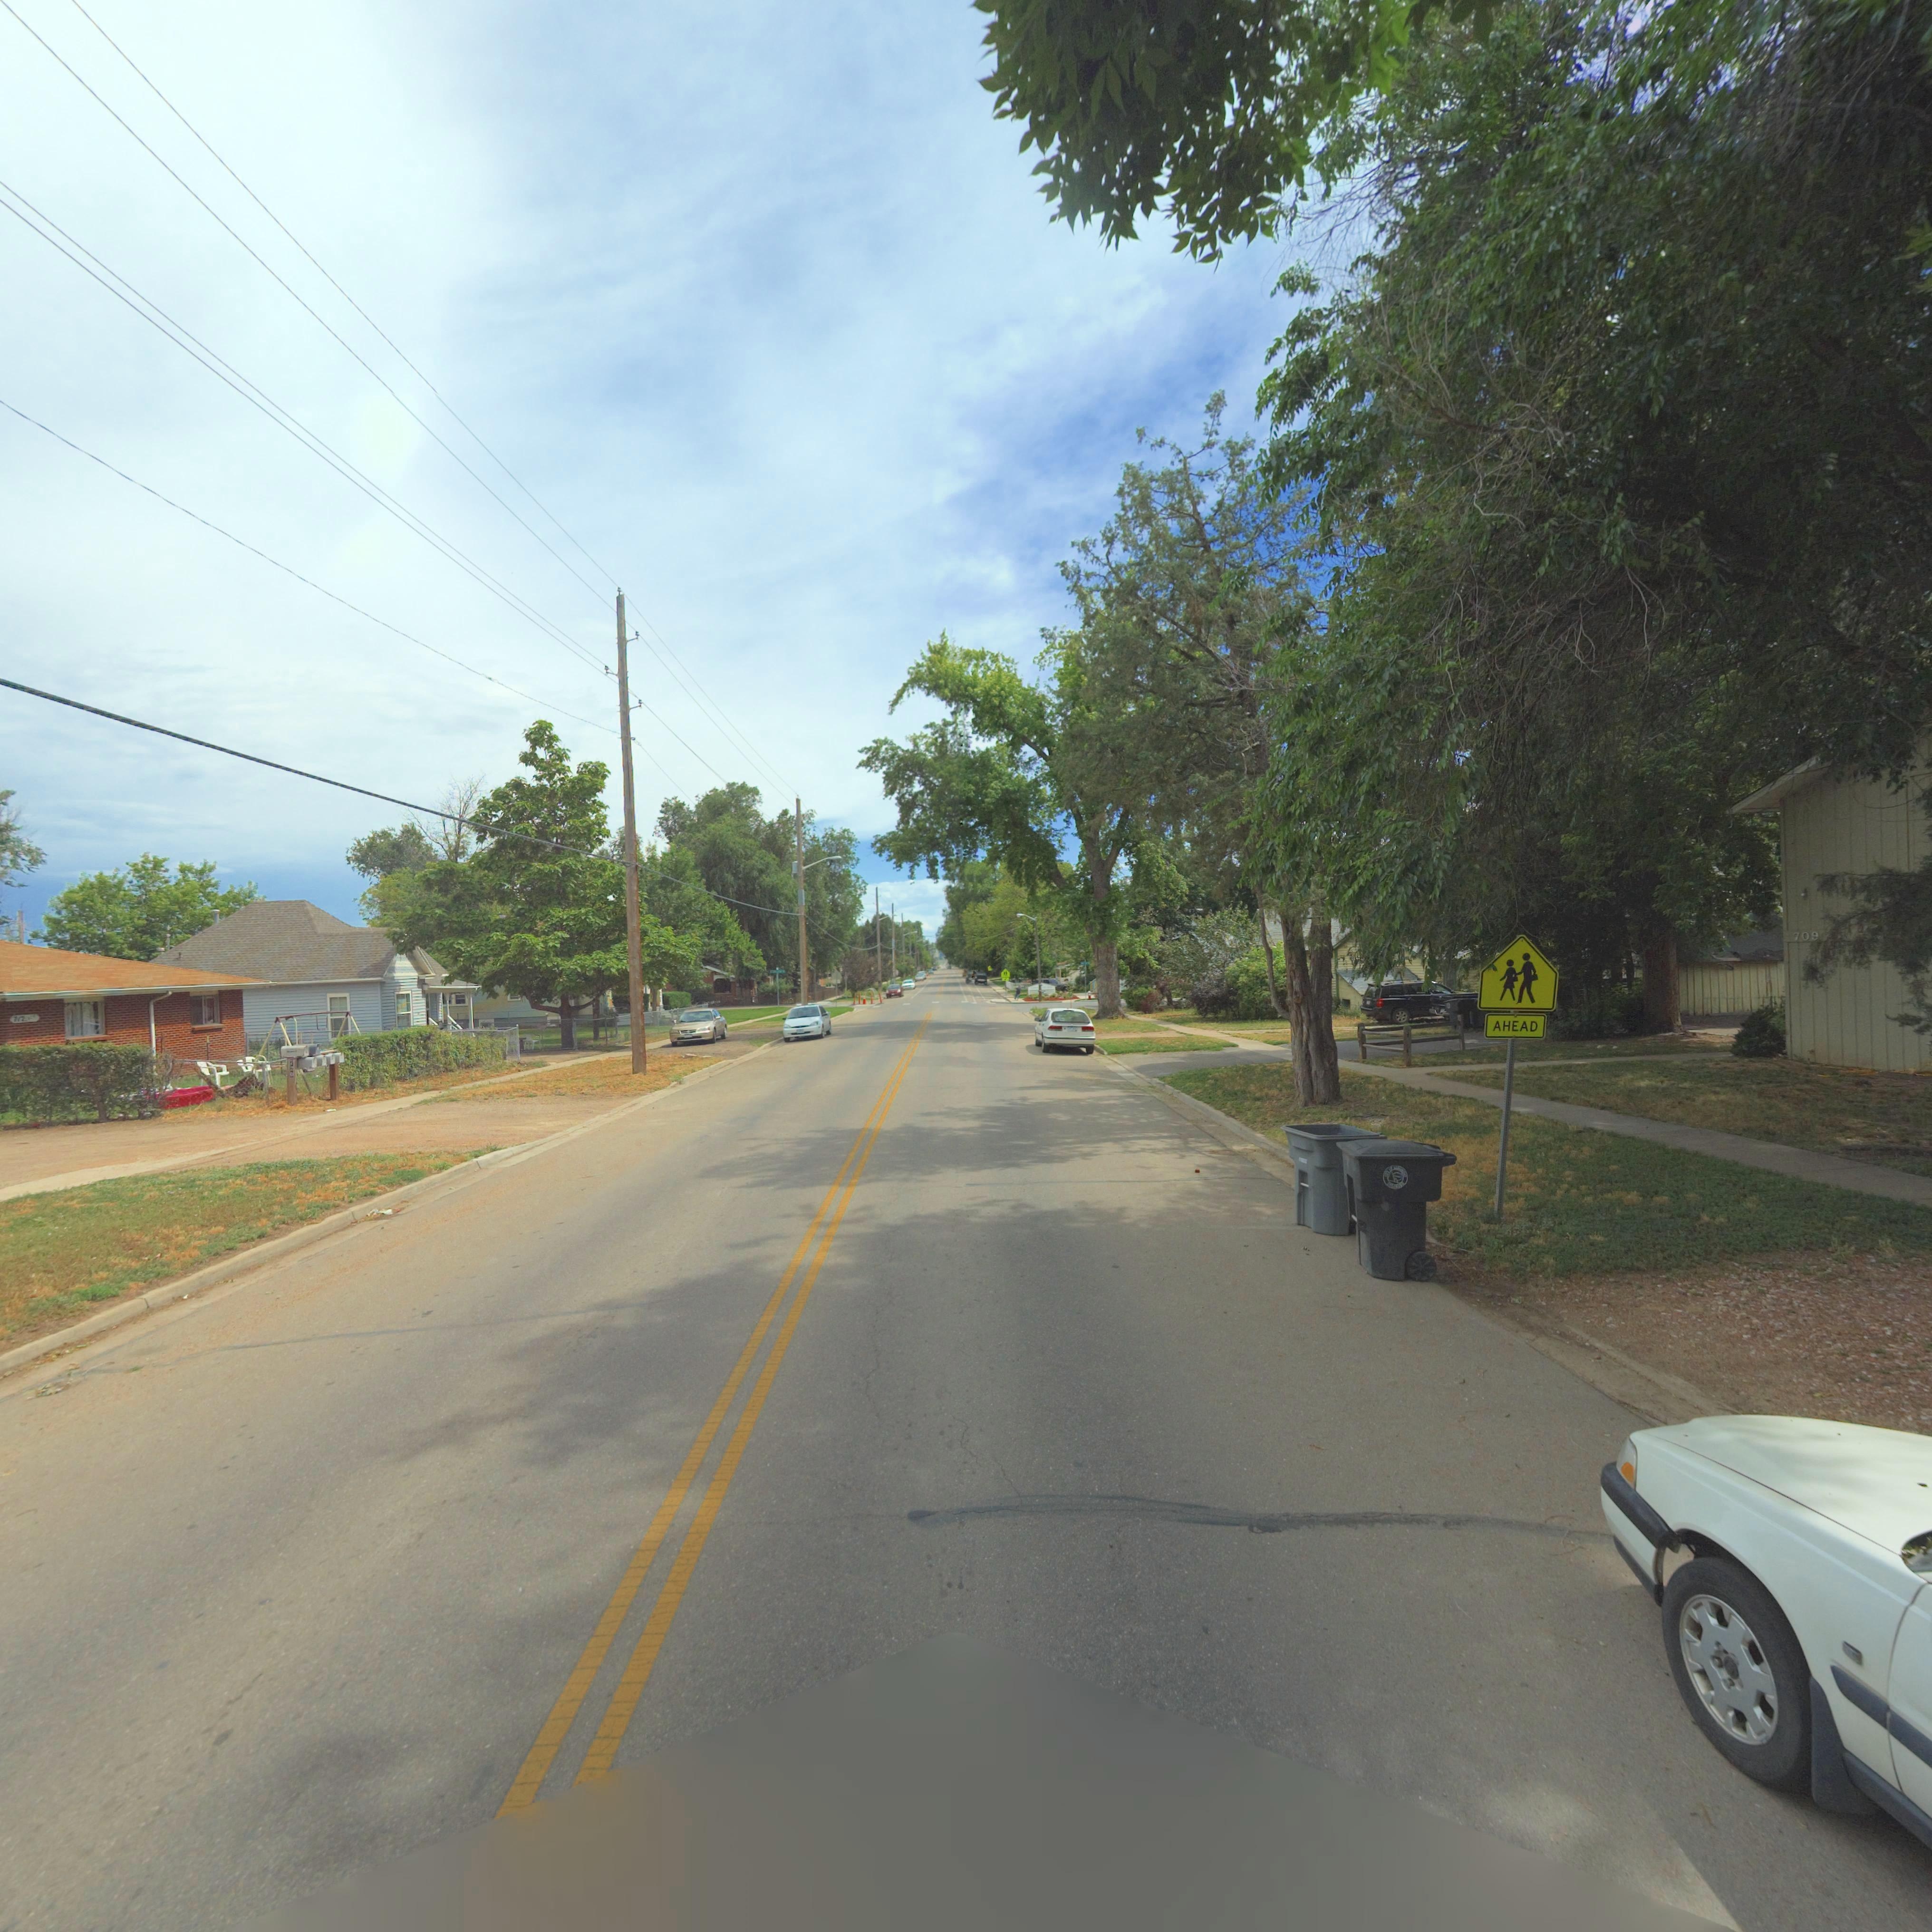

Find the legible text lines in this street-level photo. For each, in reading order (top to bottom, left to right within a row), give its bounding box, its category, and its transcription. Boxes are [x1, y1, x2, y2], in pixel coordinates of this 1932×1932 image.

[1793, 931, 1818, 941] StreetNumber: 709
[12, 1016, 24, 1022] StreetNumber: 712